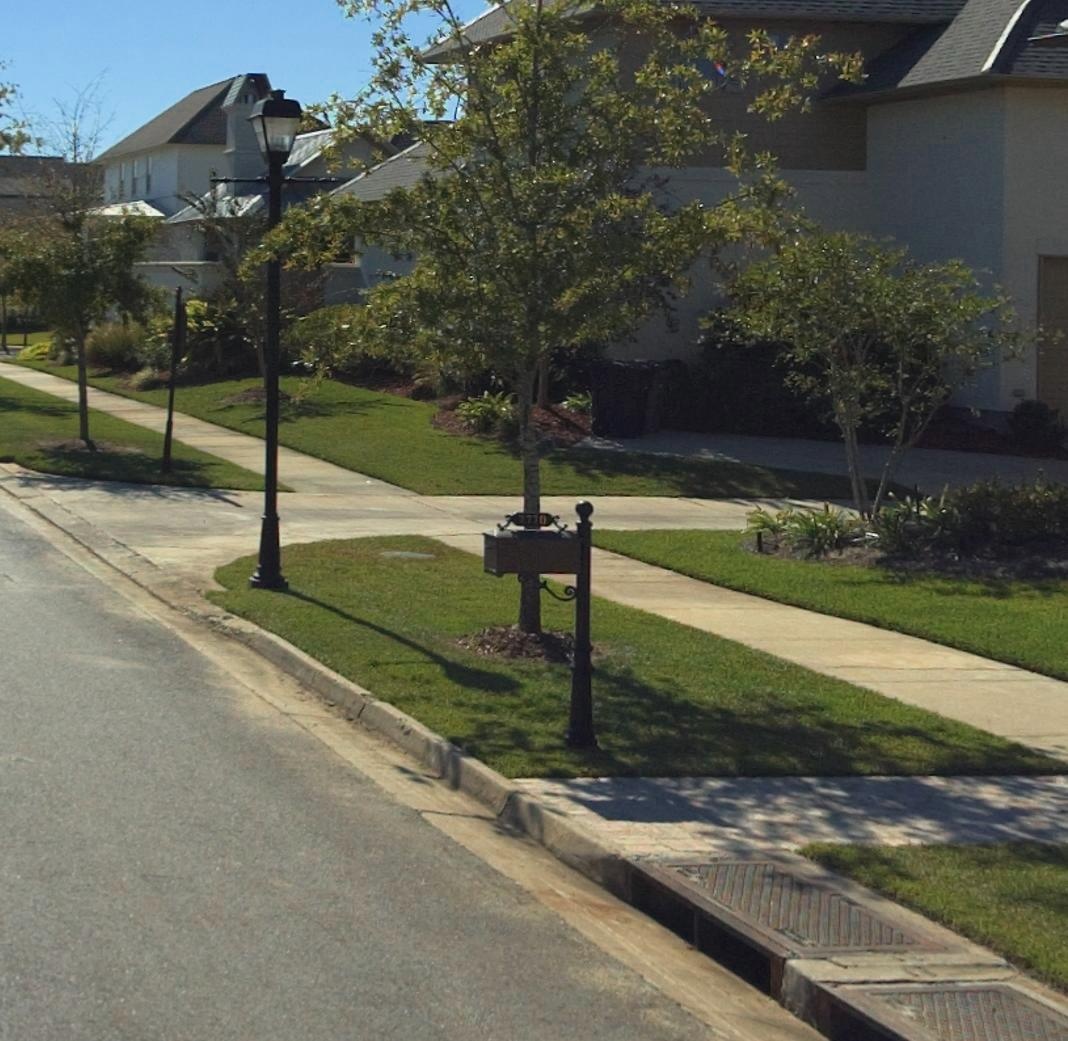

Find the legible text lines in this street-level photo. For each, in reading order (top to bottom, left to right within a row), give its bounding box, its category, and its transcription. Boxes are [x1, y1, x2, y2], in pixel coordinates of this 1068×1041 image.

[518, 514, 547, 525] StreetNumber: 7770